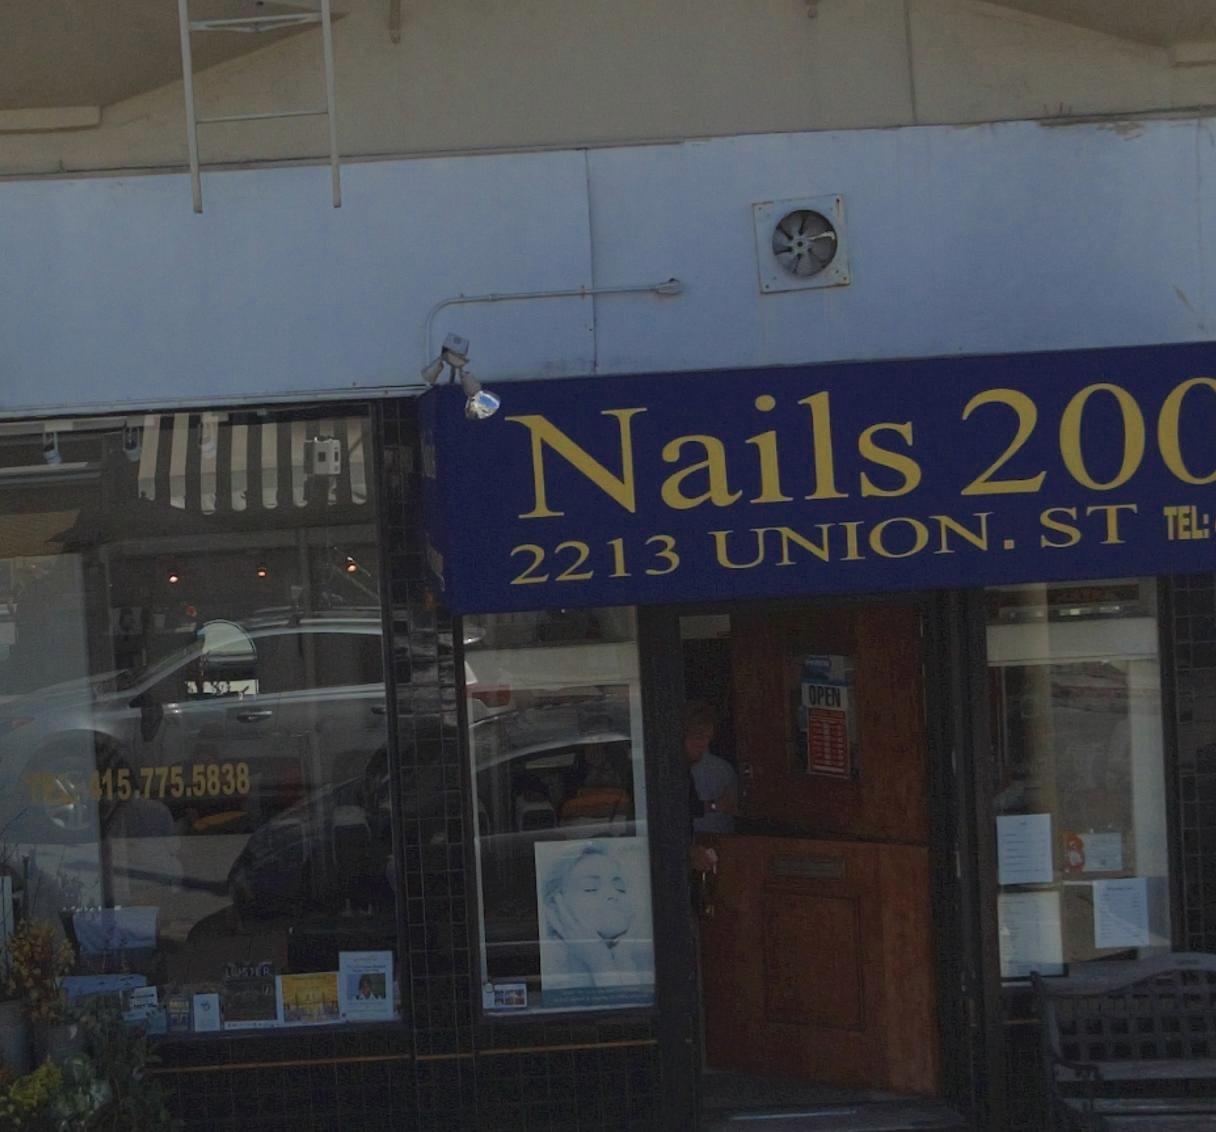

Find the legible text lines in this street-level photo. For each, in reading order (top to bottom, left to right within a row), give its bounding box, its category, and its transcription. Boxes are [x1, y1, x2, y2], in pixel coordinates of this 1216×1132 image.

[503, 379, 1148, 521] BusinessName: Nails 20
[706, 500, 1137, 572] StreetName: UNION. ST
[1161, 503, 1210, 541] None: TEL:
[505, 532, 682, 588] StreetNumber: 2213
[808, 684, 841, 708] None: OPEN
[87, 760, 251, 806] None: 415.775.5838
[223, 965, 274, 980] None: LUSTER